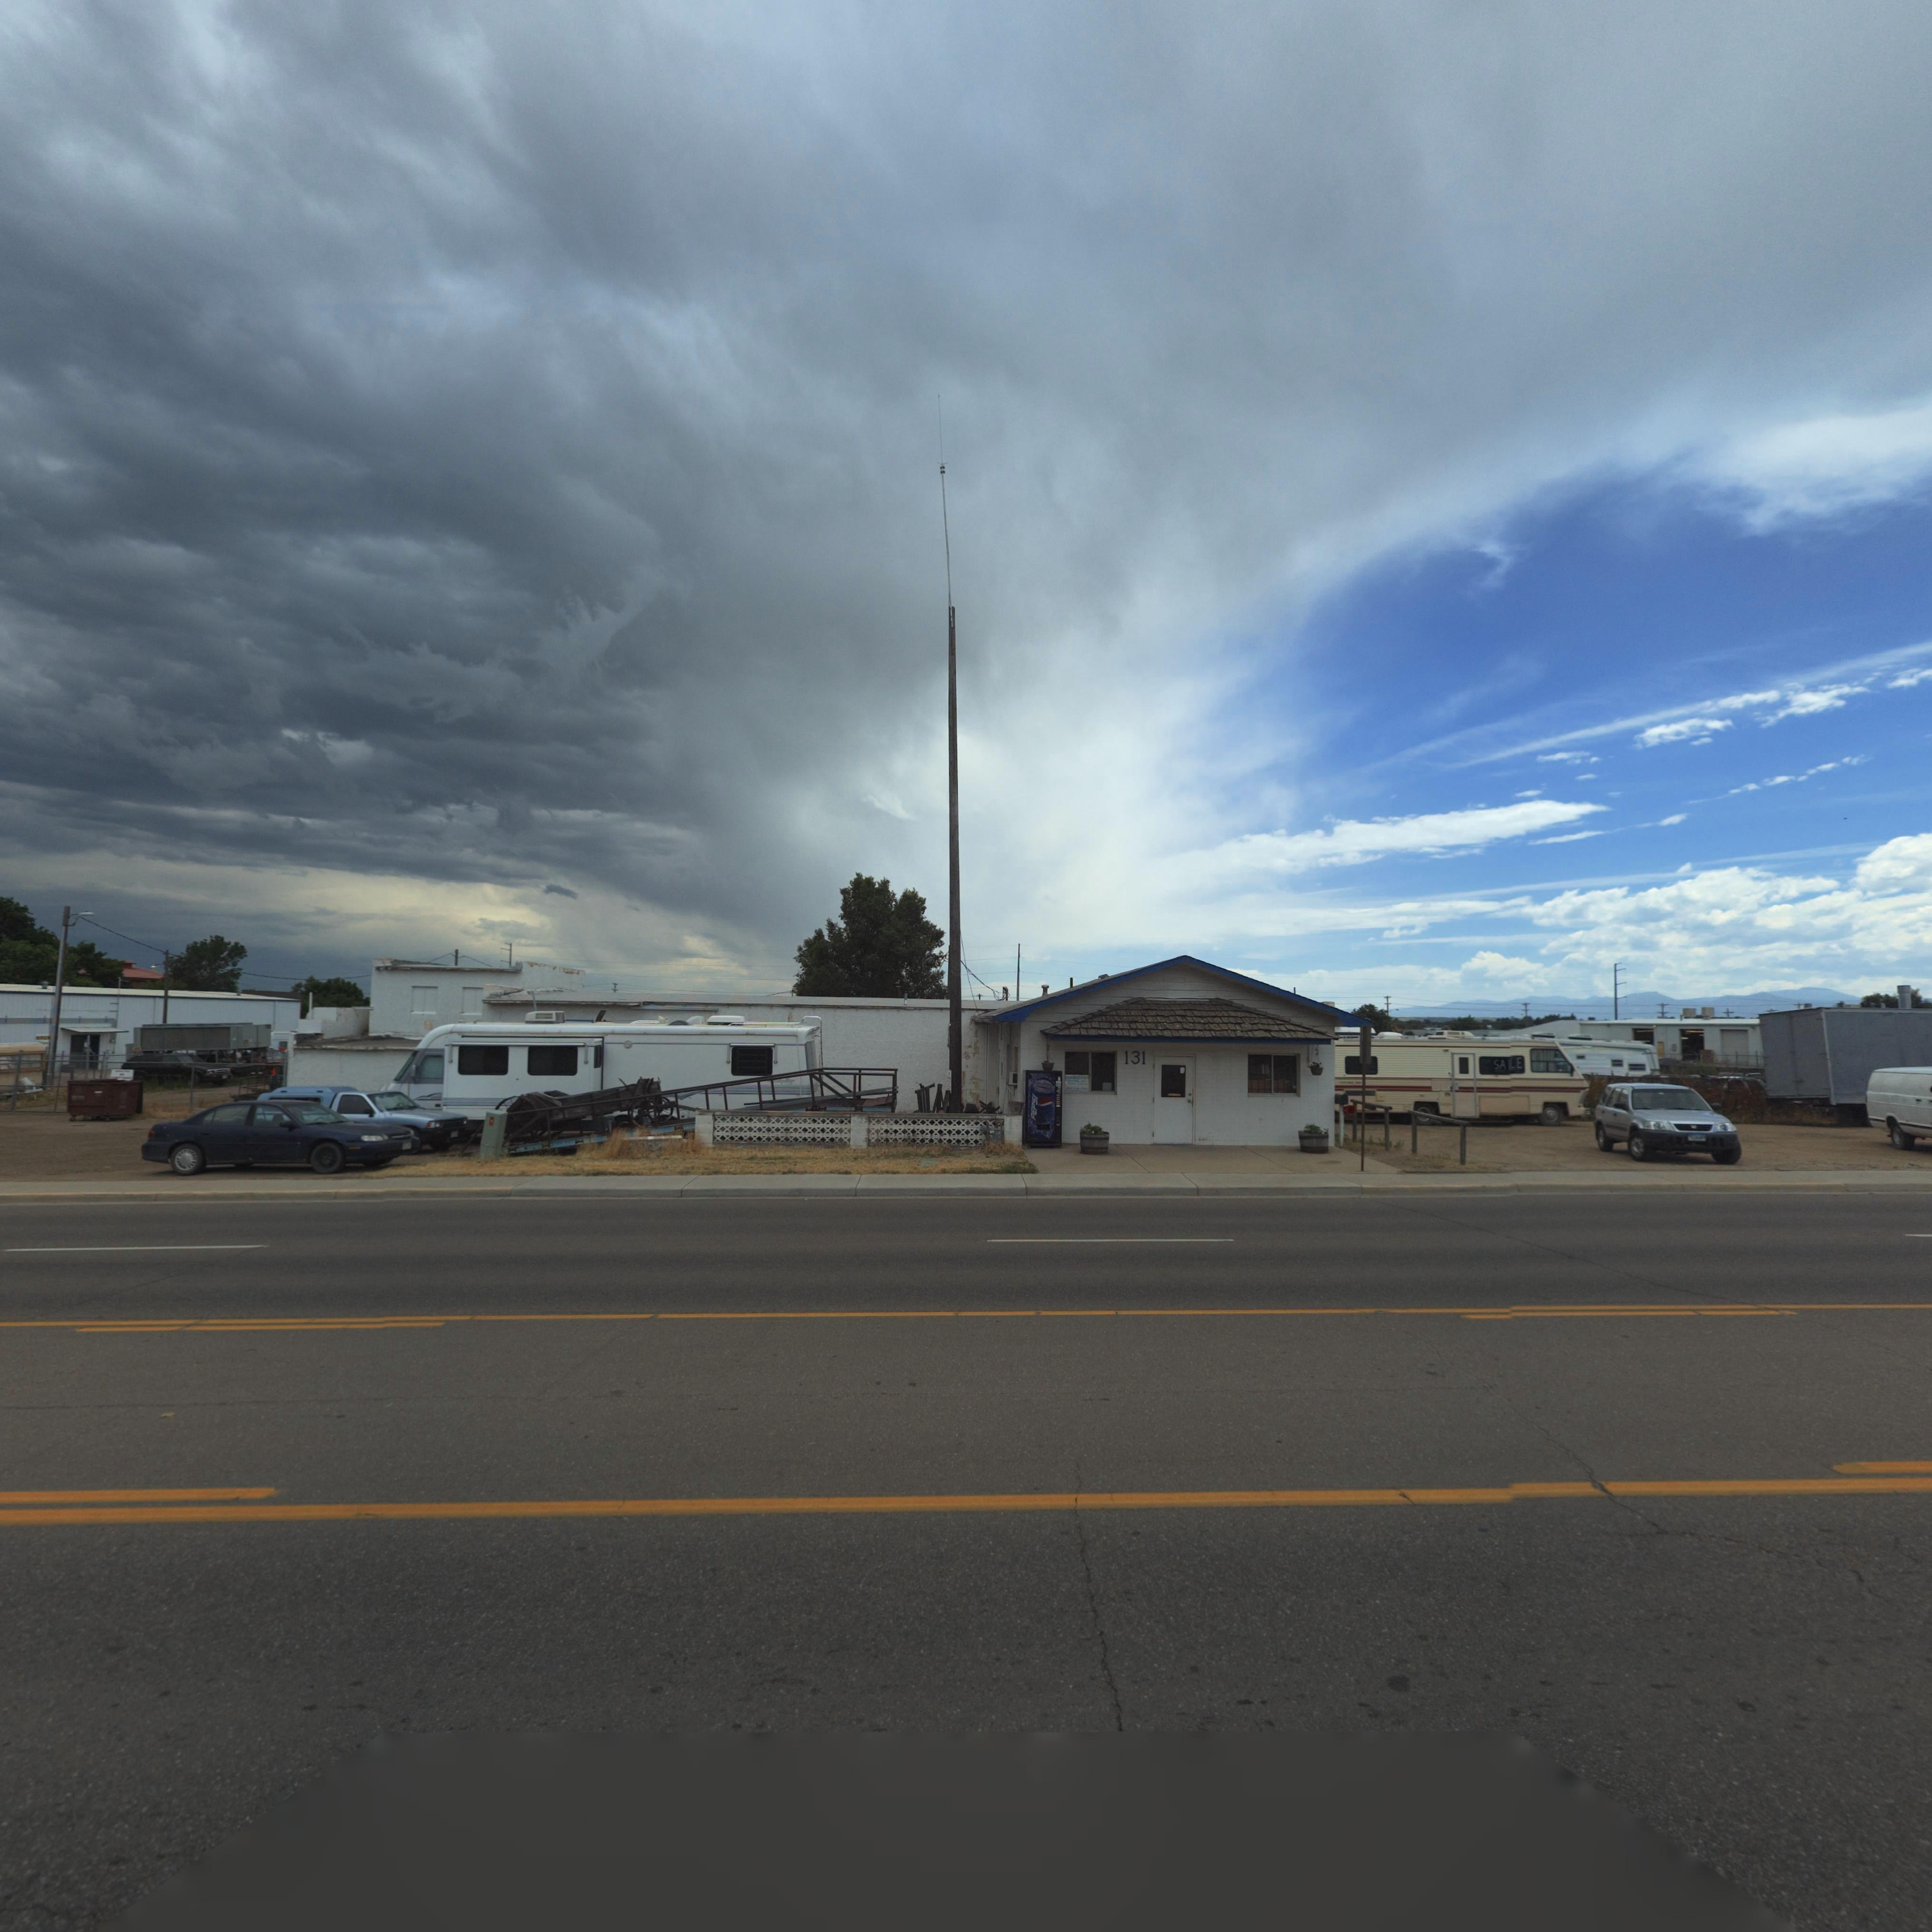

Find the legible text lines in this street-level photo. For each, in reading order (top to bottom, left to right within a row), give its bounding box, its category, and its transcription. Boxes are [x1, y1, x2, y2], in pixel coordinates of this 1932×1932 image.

[1124, 1049, 1146, 1065] StreetNumber: 131